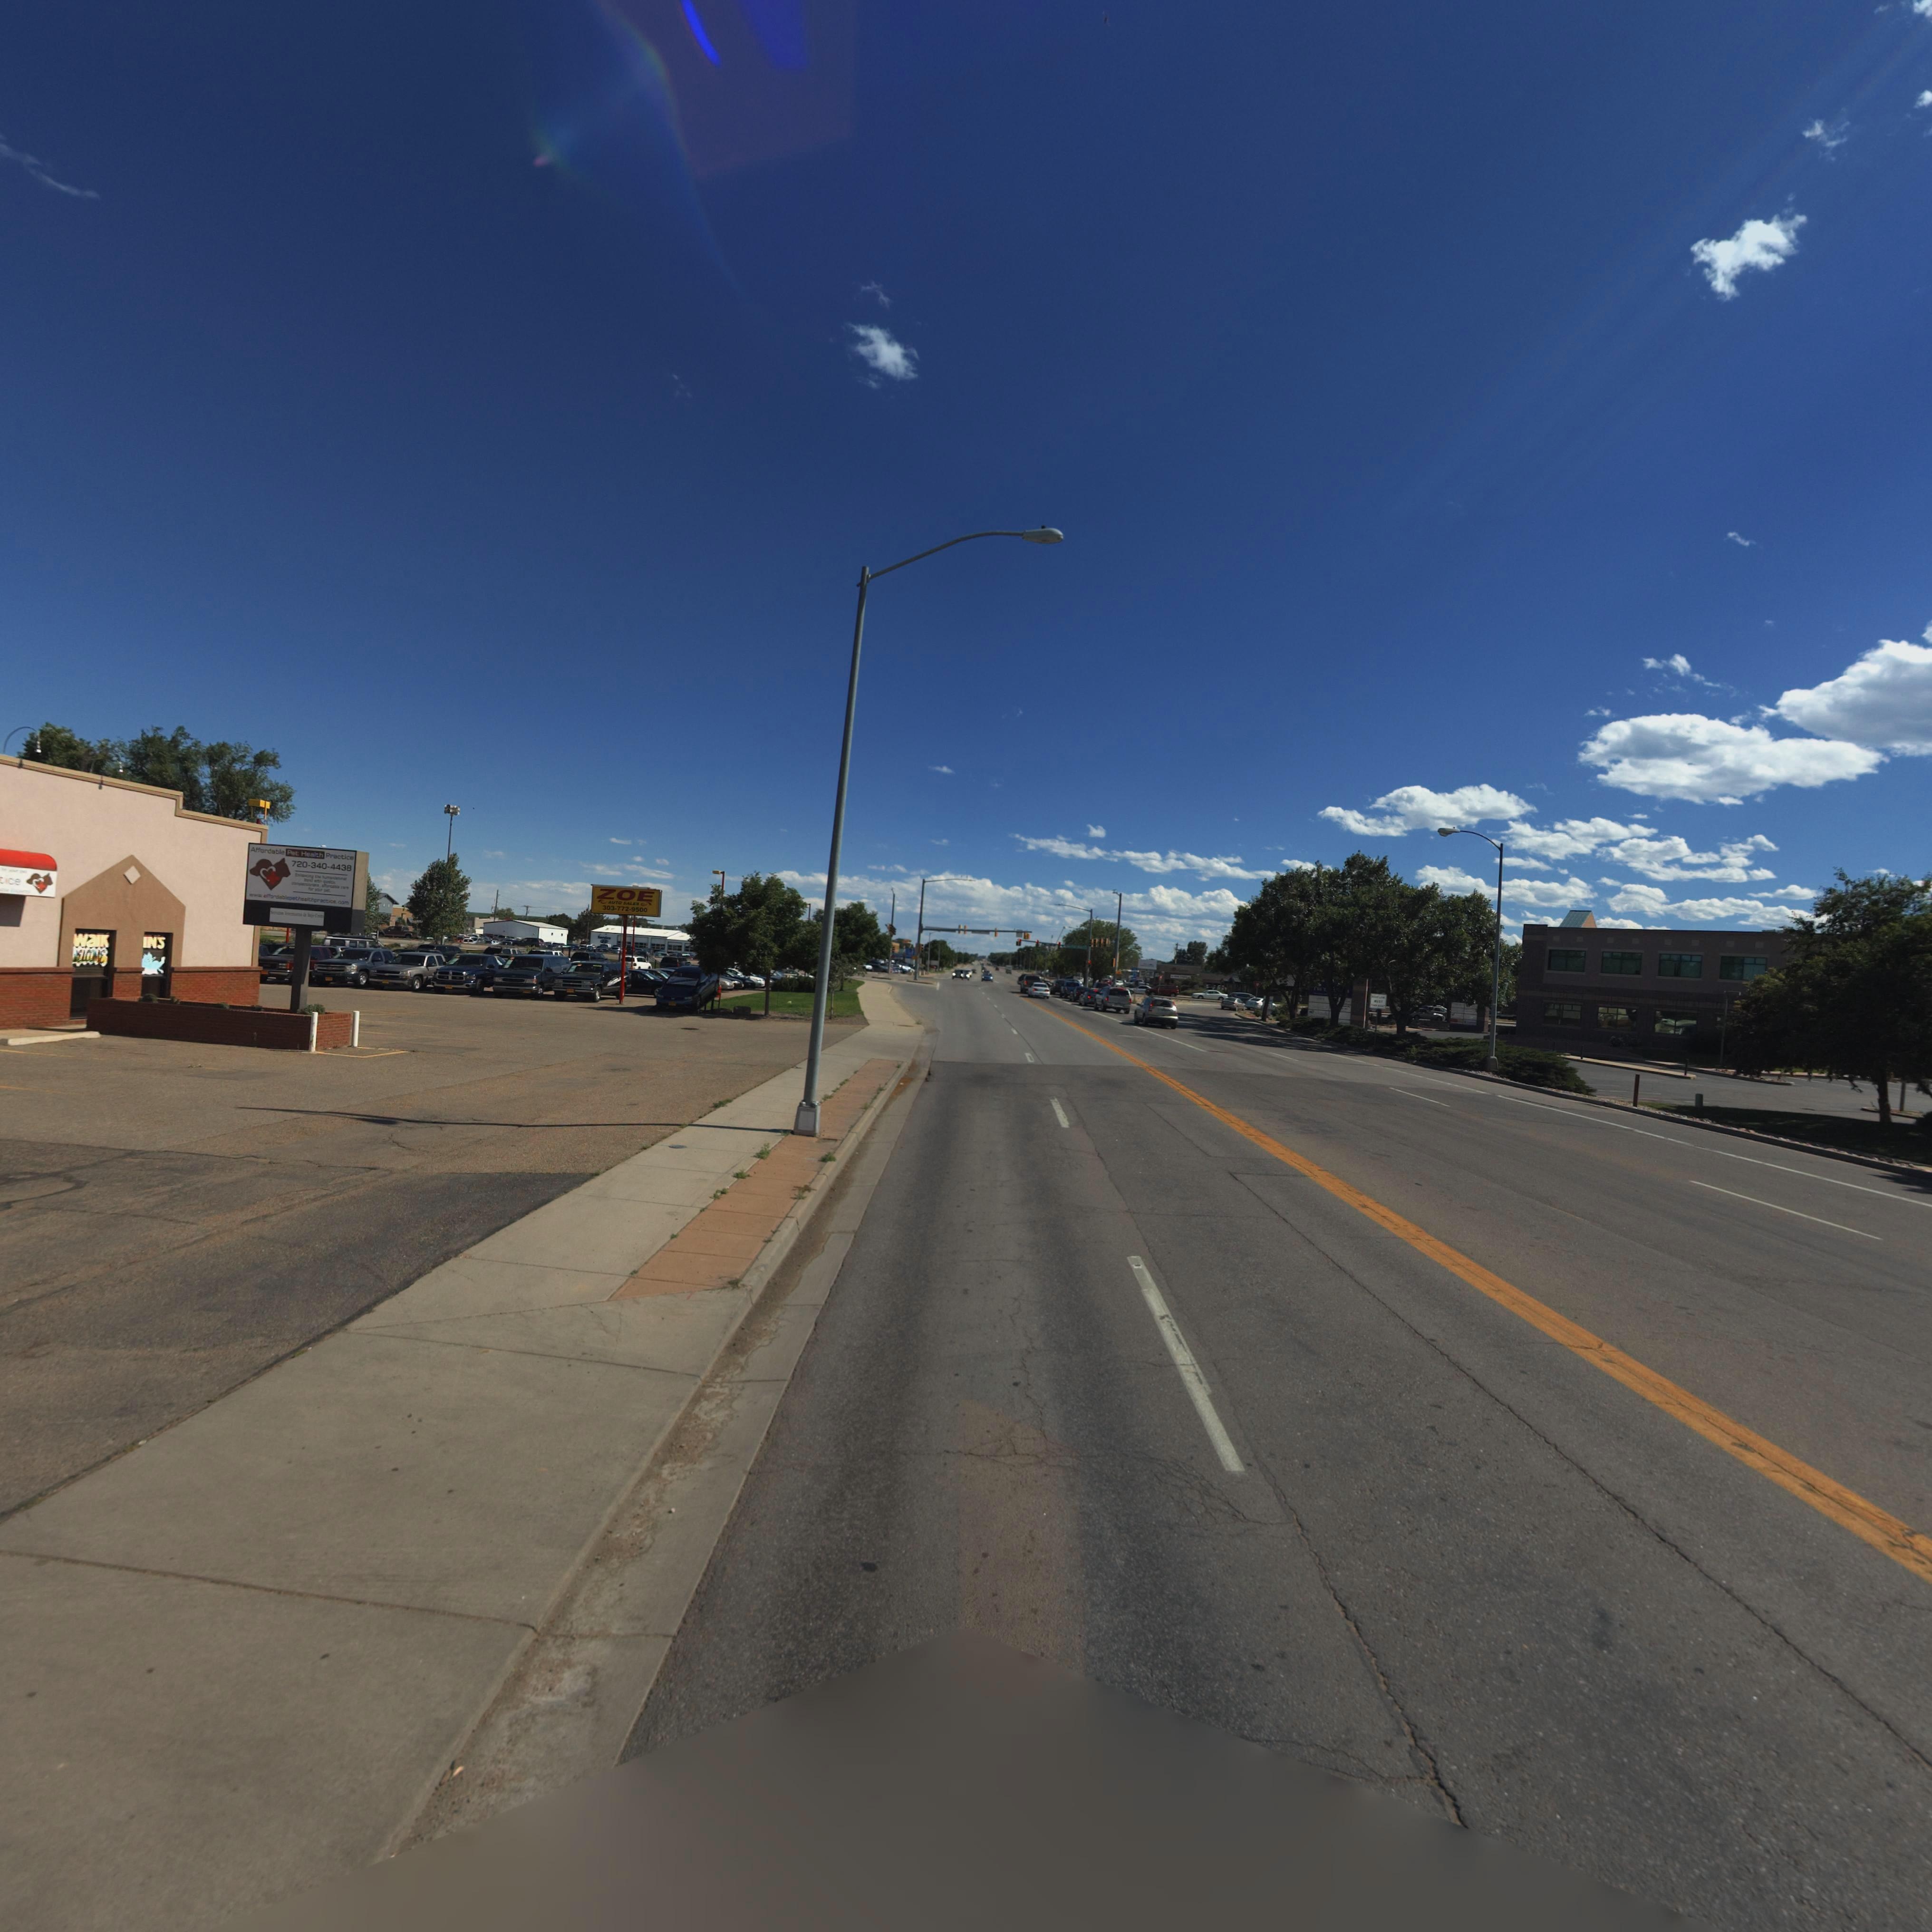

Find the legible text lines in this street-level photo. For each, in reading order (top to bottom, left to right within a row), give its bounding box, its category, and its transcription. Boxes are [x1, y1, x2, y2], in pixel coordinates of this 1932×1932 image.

[250, 847, 354, 860] BusinessName: Affordable Pet Health Practice
[4, 877, 21, 886] BusinessName: ice
[596, 888, 655, 902] BusinessName: ZOE
[608, 900, 639, 906] BusinessName: AUTO SALES